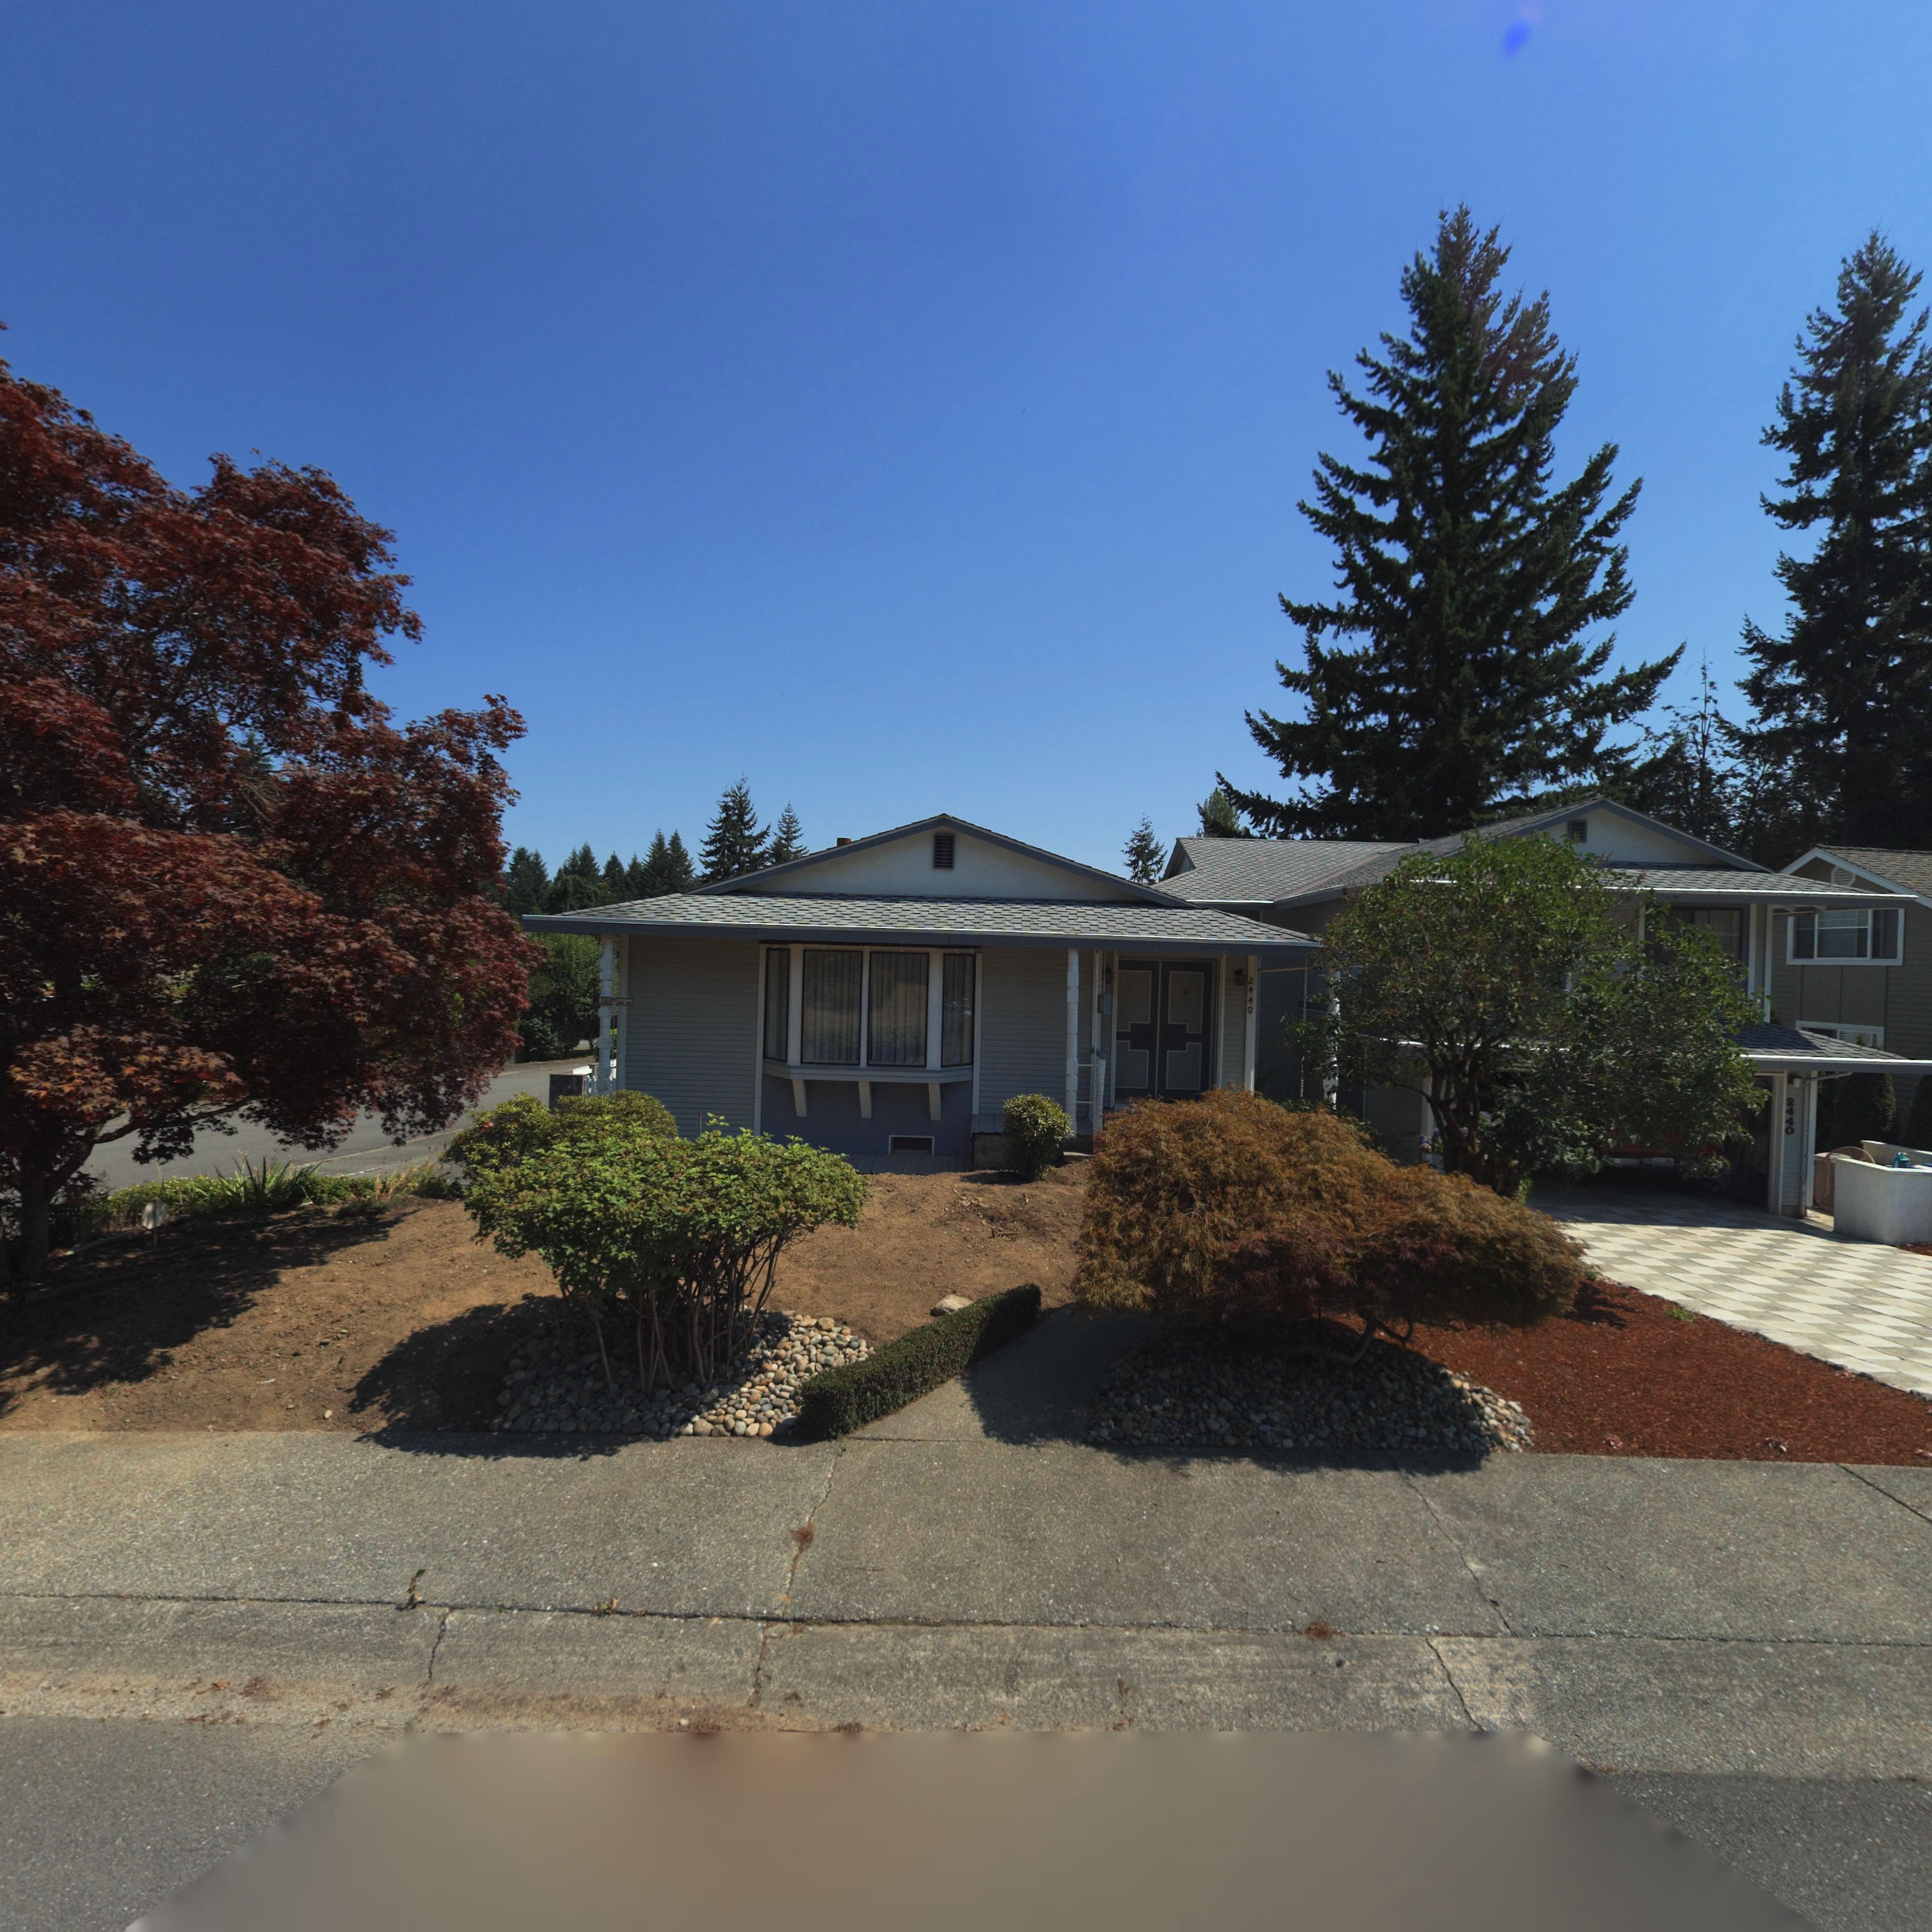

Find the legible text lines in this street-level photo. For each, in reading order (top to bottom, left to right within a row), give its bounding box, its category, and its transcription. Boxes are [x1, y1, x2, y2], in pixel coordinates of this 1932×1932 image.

[1244, 974, 1255, 1015] StreetNumber: 2440
[1785, 1098, 1794, 1135] StreetNumber: 2440